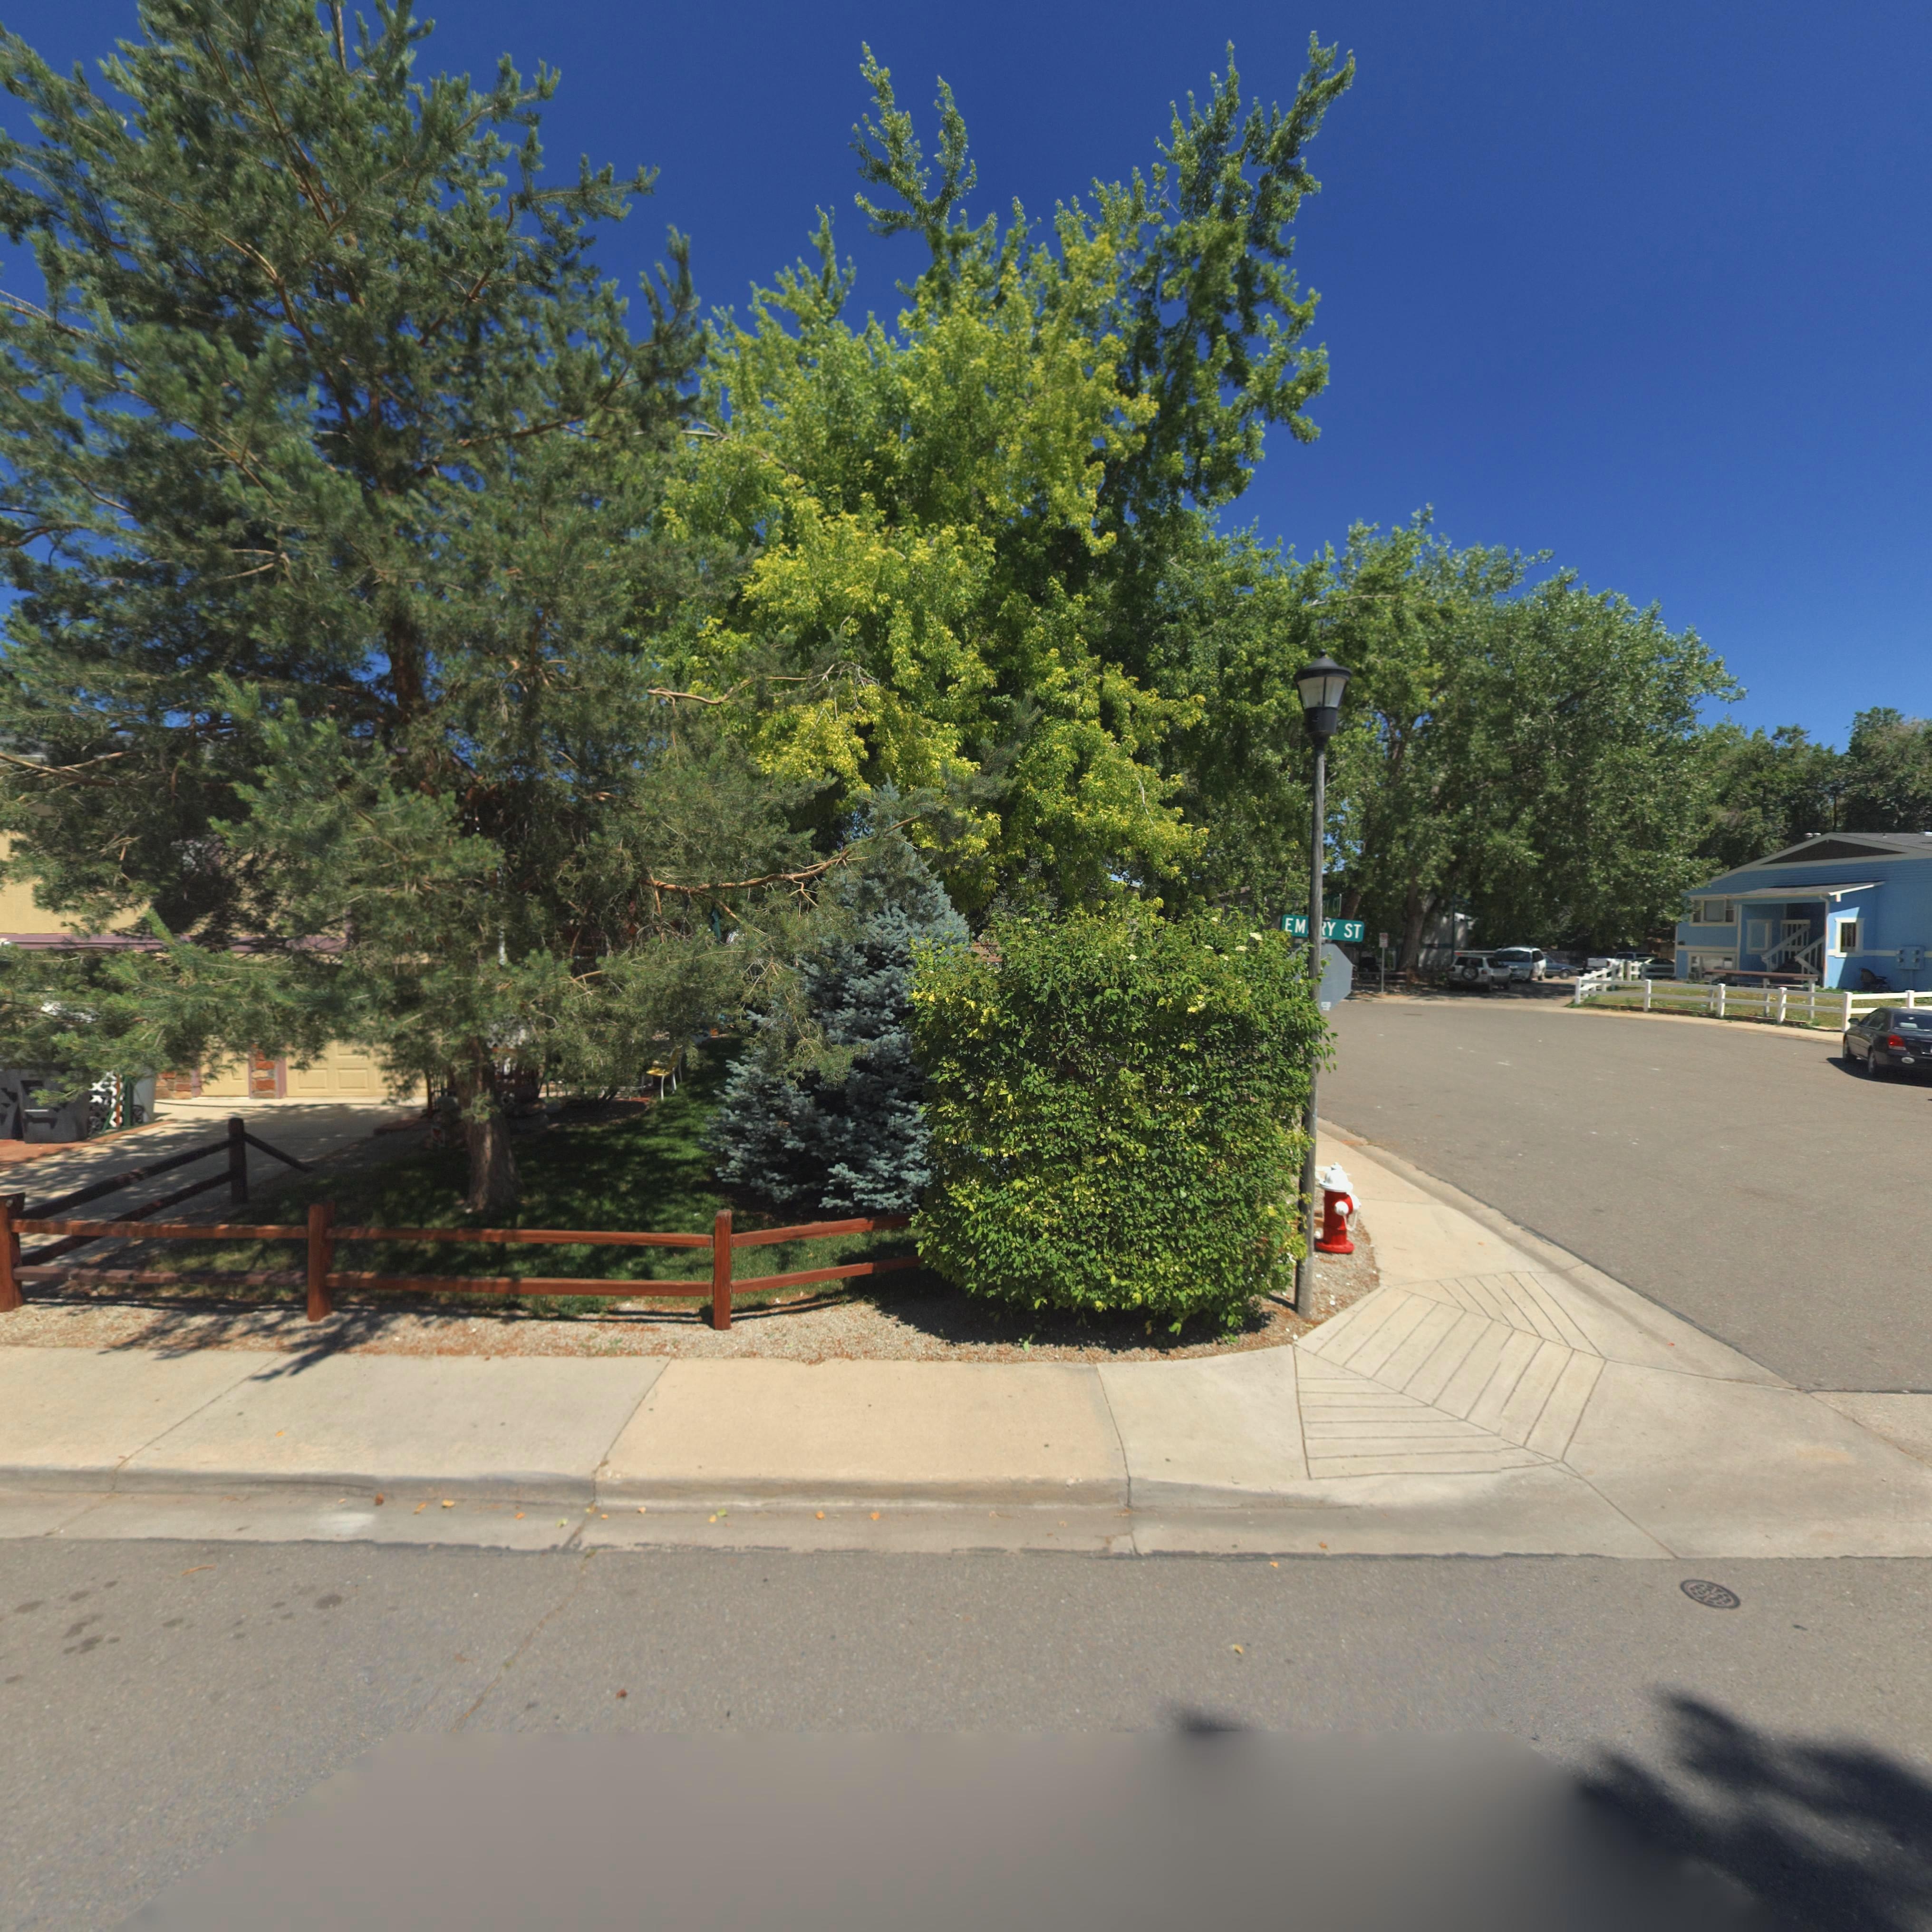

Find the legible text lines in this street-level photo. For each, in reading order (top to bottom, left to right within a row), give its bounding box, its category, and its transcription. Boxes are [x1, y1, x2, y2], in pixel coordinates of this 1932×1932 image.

[1322, 896, 1340, 915] StreetName: *Y CT
[1284, 917, 1362, 939] StreetName: EM**Y ST